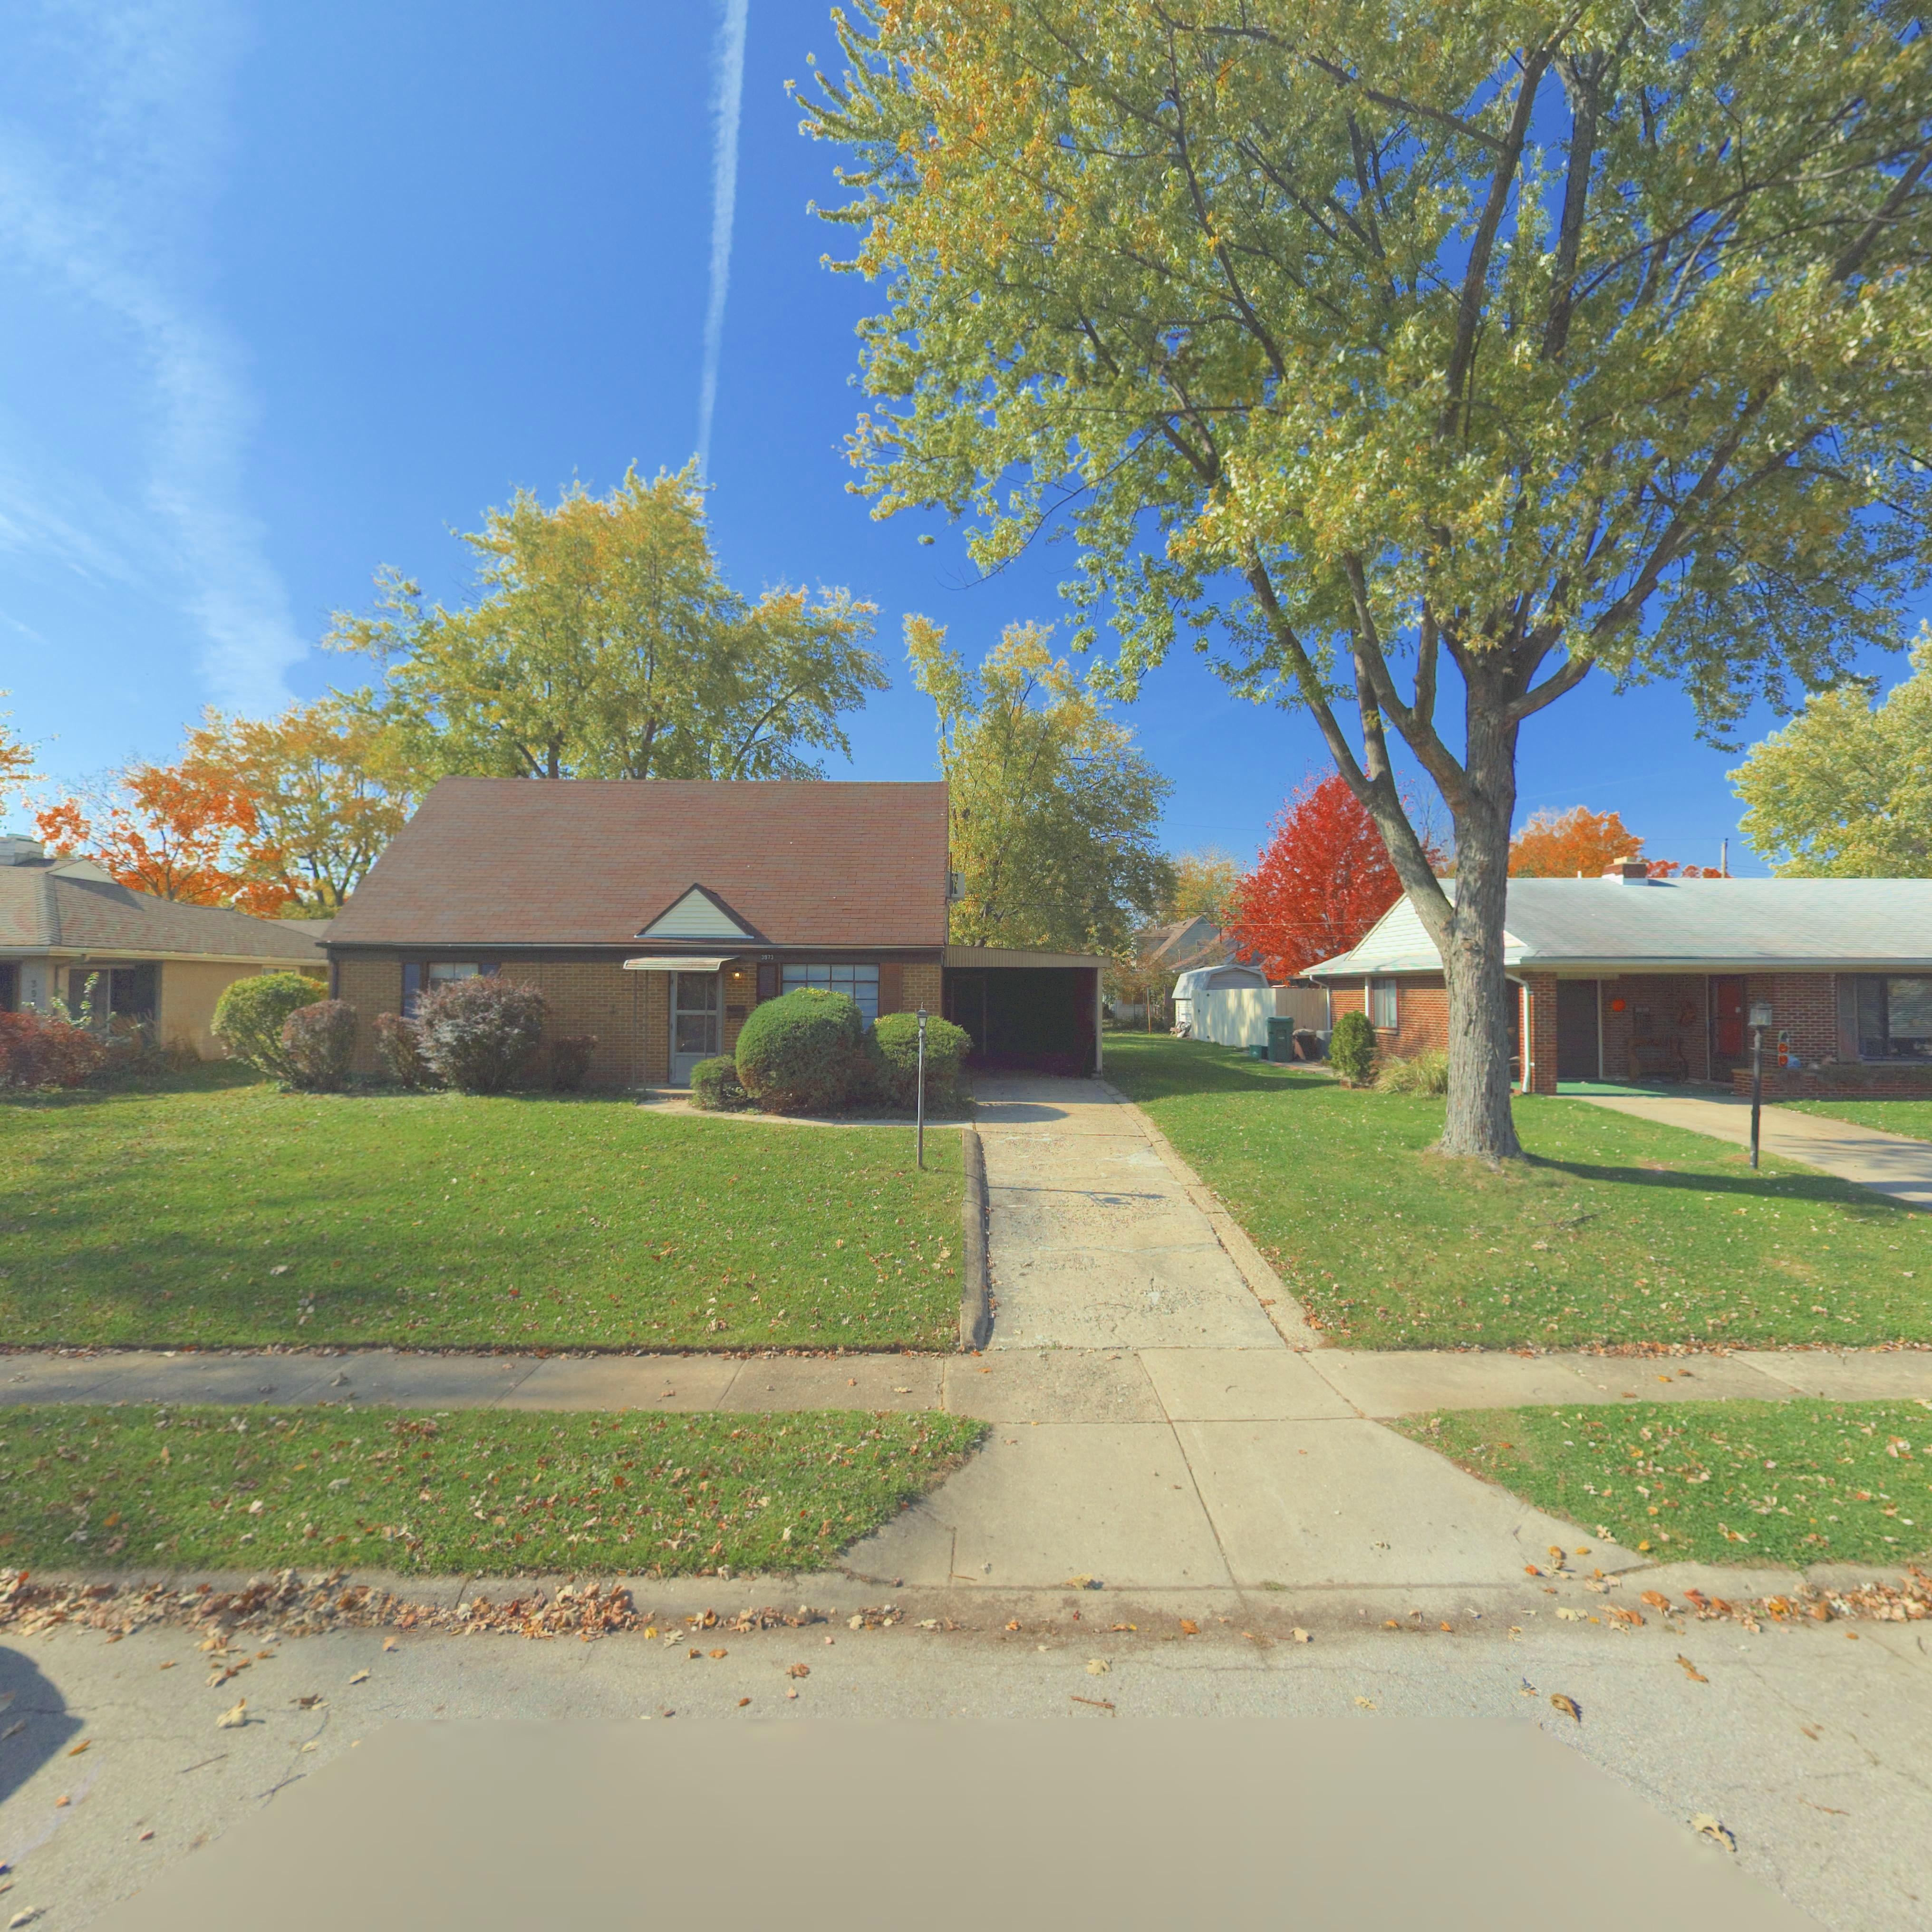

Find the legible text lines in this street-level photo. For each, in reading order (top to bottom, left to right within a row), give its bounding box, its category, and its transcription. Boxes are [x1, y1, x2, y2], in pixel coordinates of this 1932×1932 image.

[761, 954, 774, 961] StreetNumber: 3973